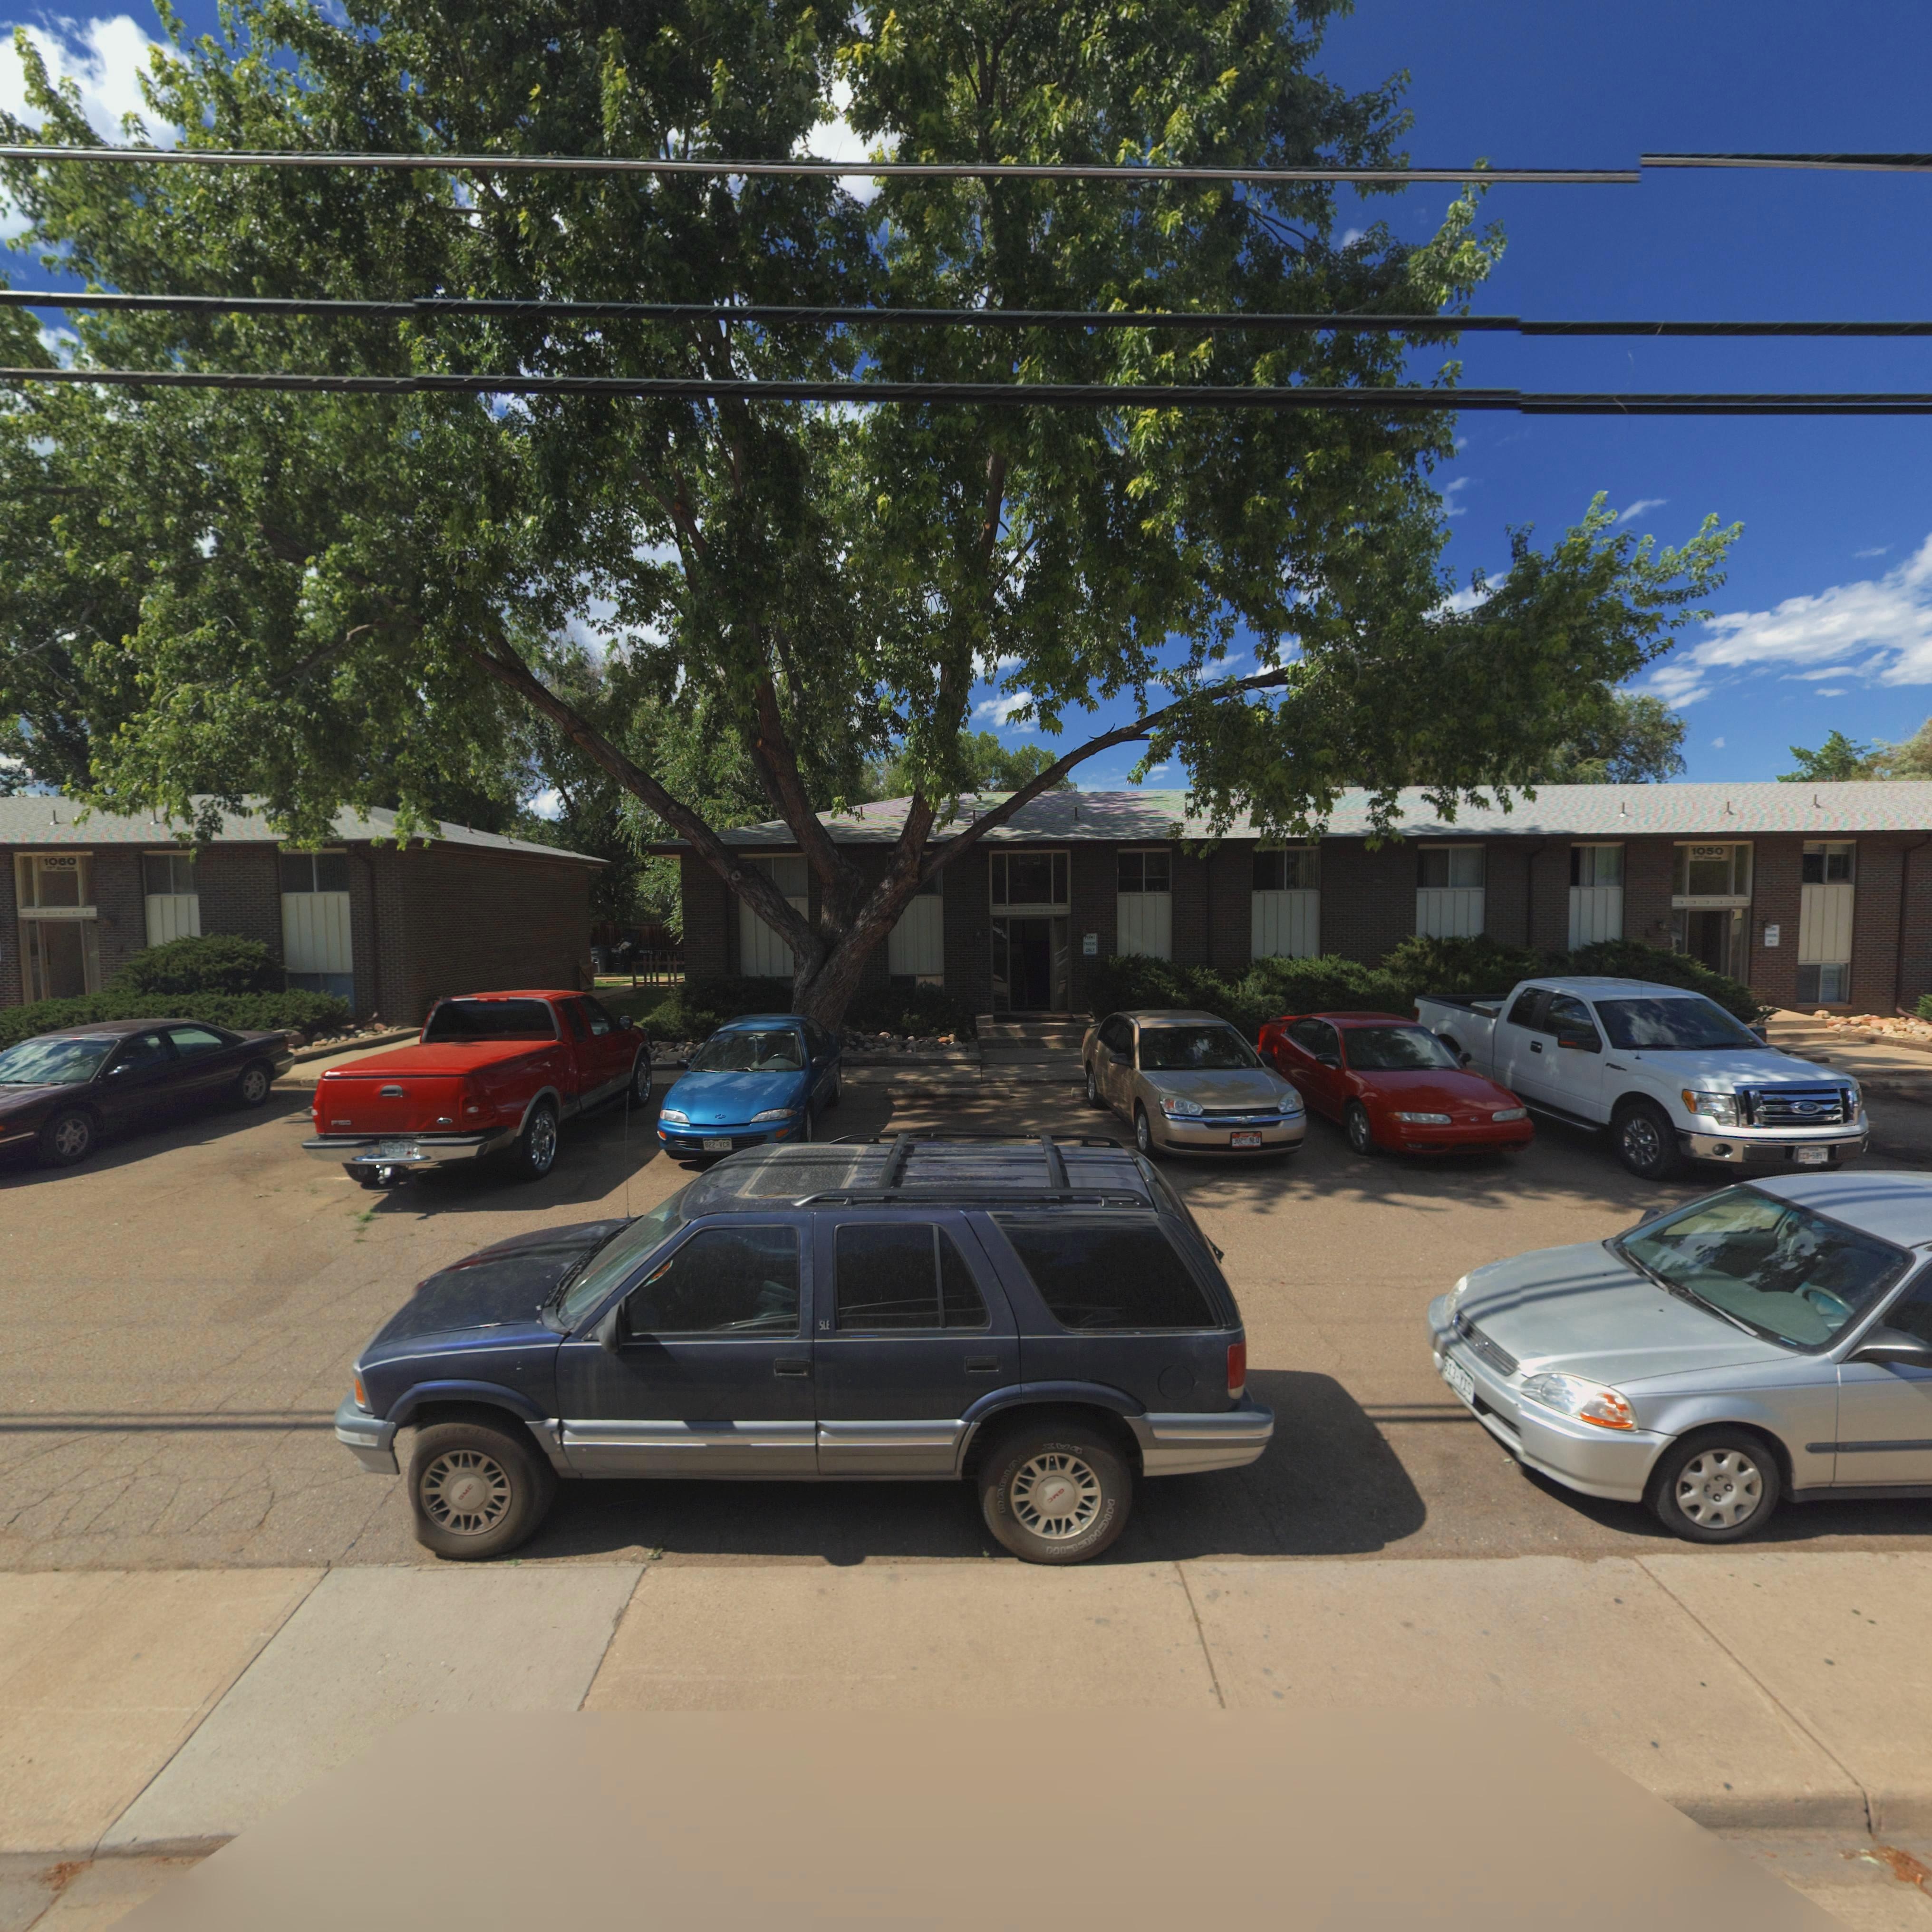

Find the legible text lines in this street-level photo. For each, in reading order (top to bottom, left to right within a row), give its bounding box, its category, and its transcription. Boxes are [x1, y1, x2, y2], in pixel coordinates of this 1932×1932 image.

[1691, 847, 1724, 855] StreetNumber: 1050
[43, 857, 77, 865] StreetNumber: 1060
[1693, 855, 1722, 860] StreetName: 17th Avenue
[46, 865, 75, 870] StreetName: 17th Avenue